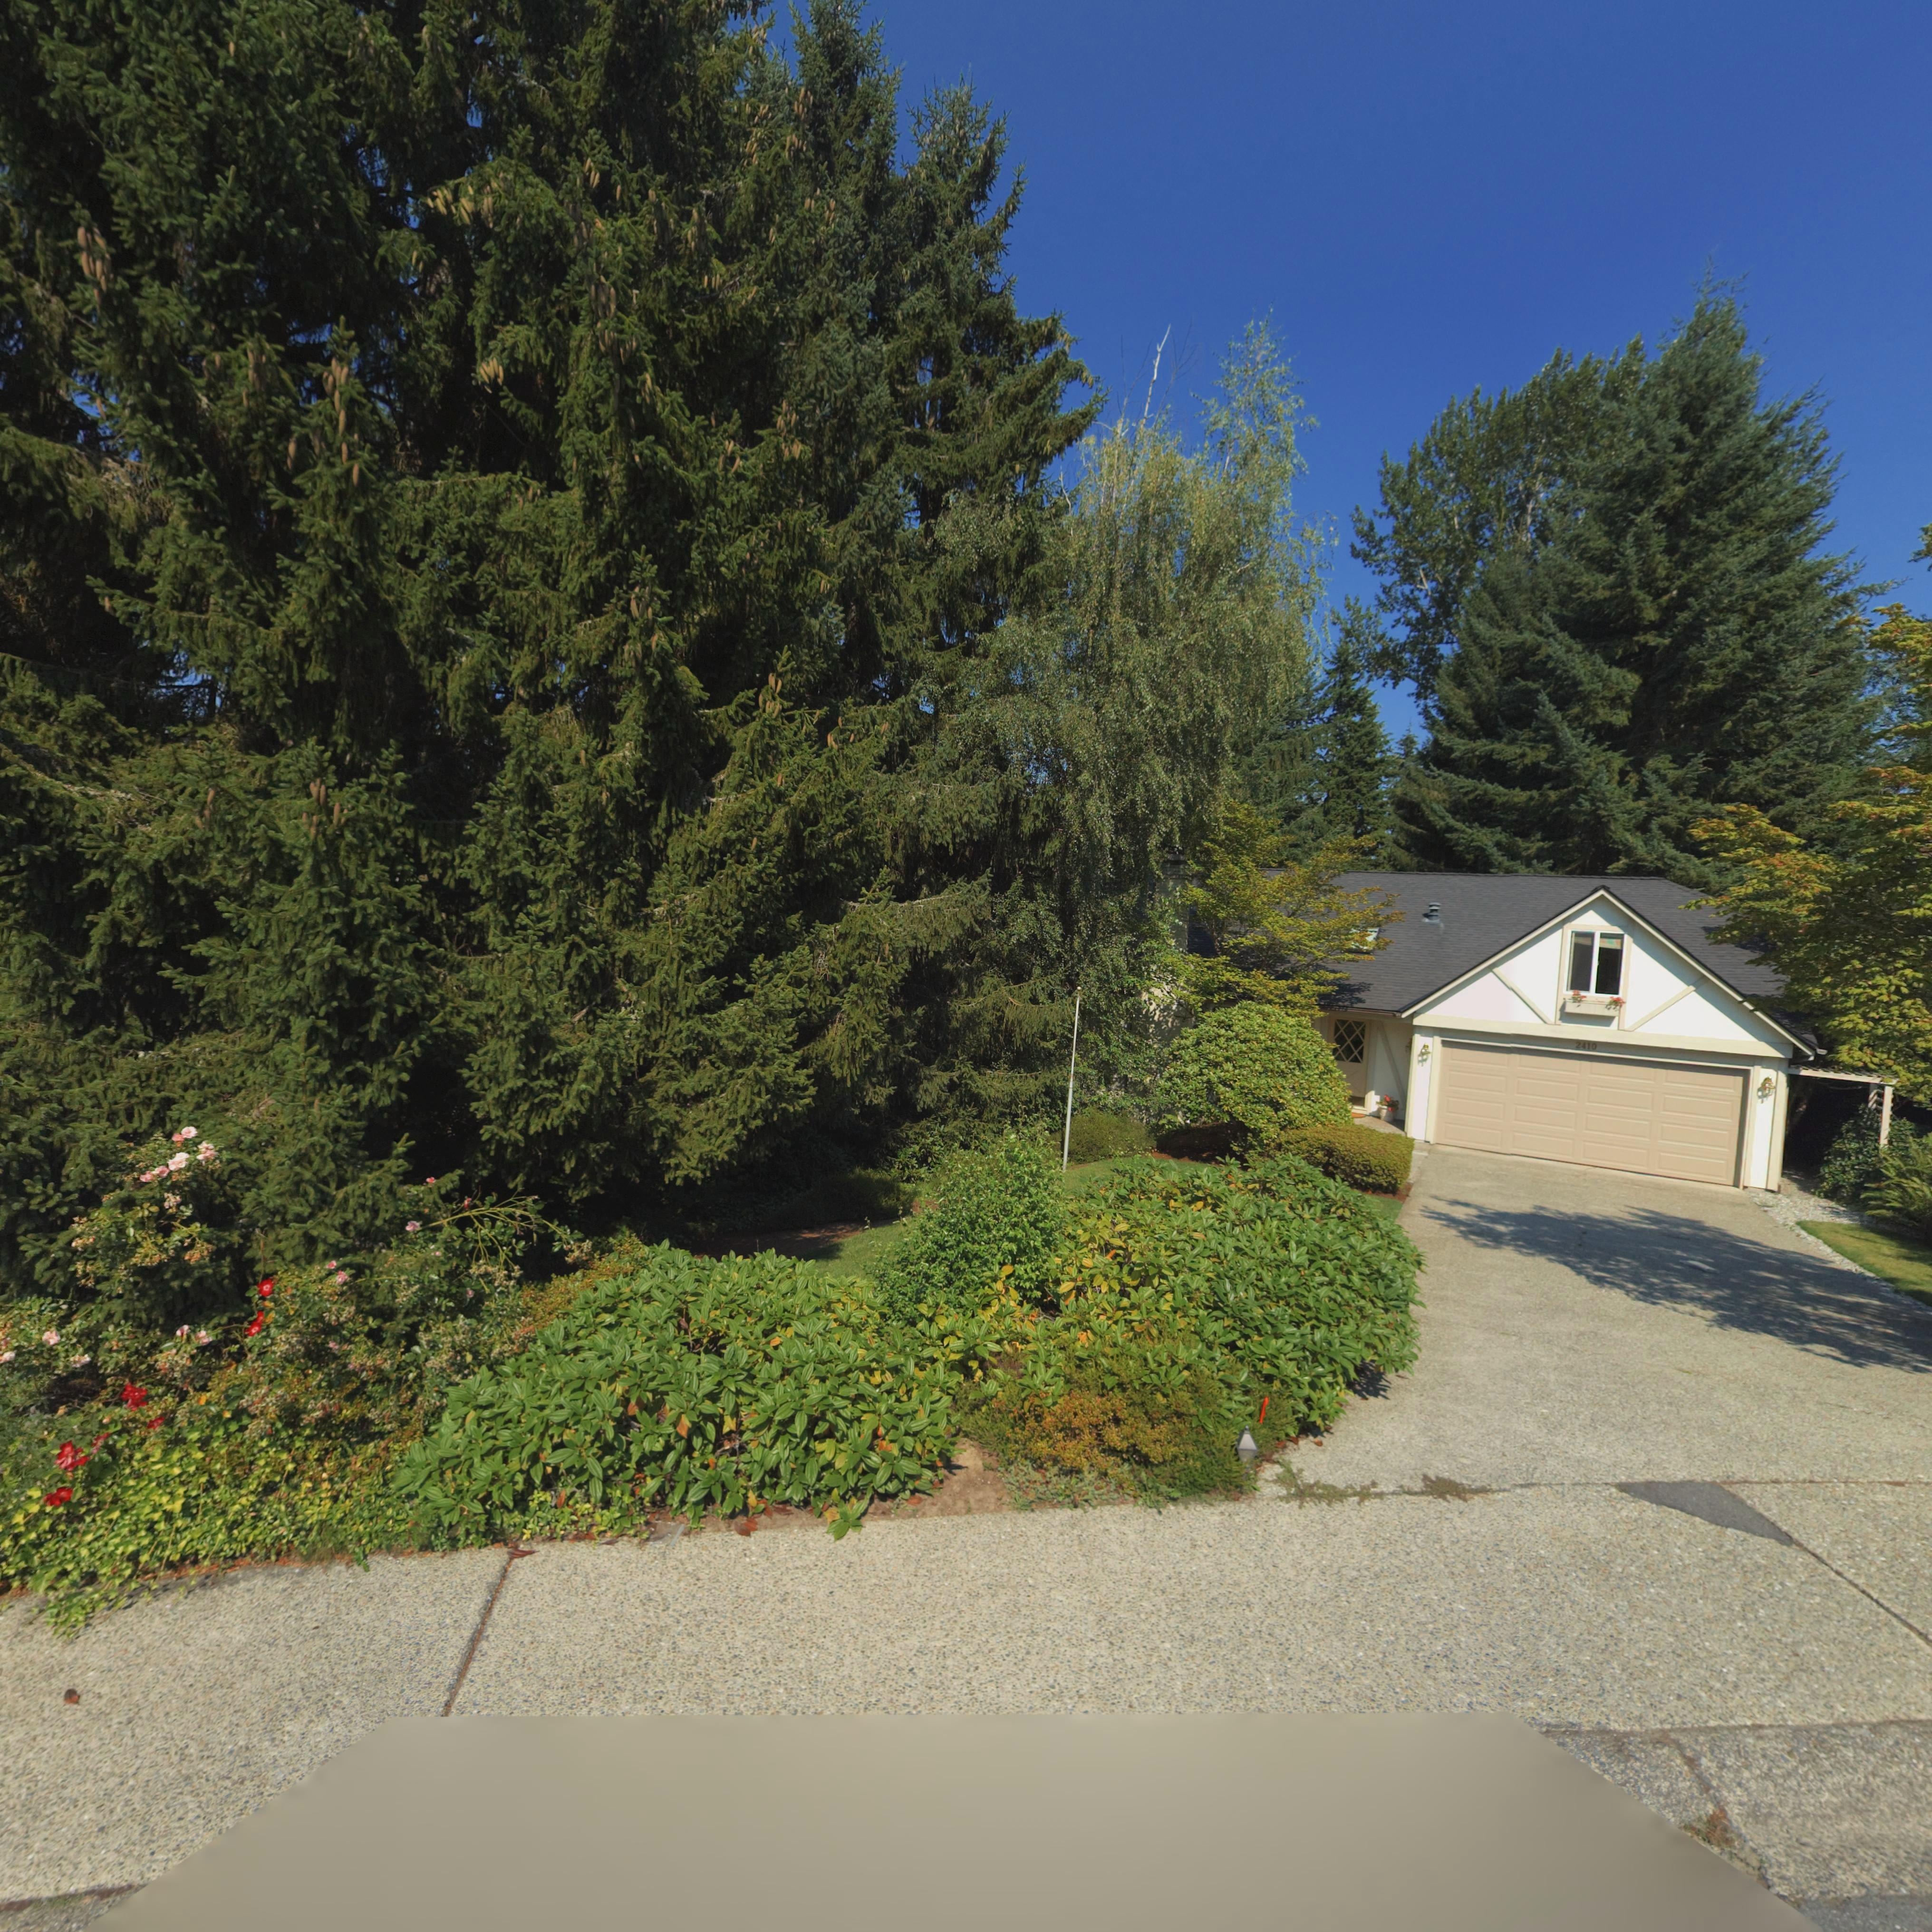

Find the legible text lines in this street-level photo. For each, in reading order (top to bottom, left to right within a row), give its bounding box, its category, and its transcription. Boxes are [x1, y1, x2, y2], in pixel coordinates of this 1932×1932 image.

[1575, 1040, 1598, 1050] StreetNumber: 2410